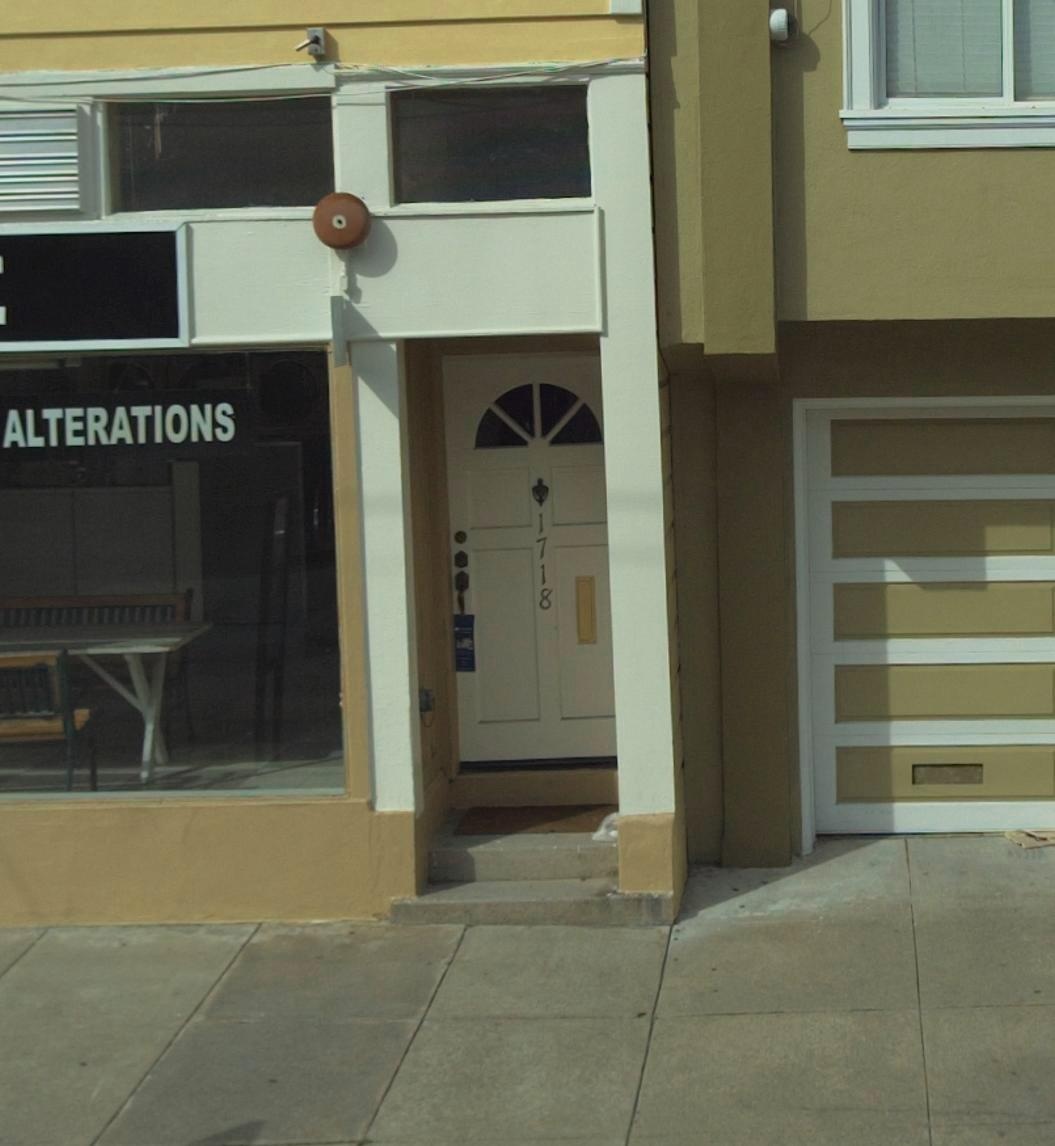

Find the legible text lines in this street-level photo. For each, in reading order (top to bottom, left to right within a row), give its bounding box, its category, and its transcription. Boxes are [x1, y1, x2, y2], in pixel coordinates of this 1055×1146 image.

[0, 399, 238, 450] None: ALTERATIONS
[531, 508, 556, 613] StreetNumber: 1718